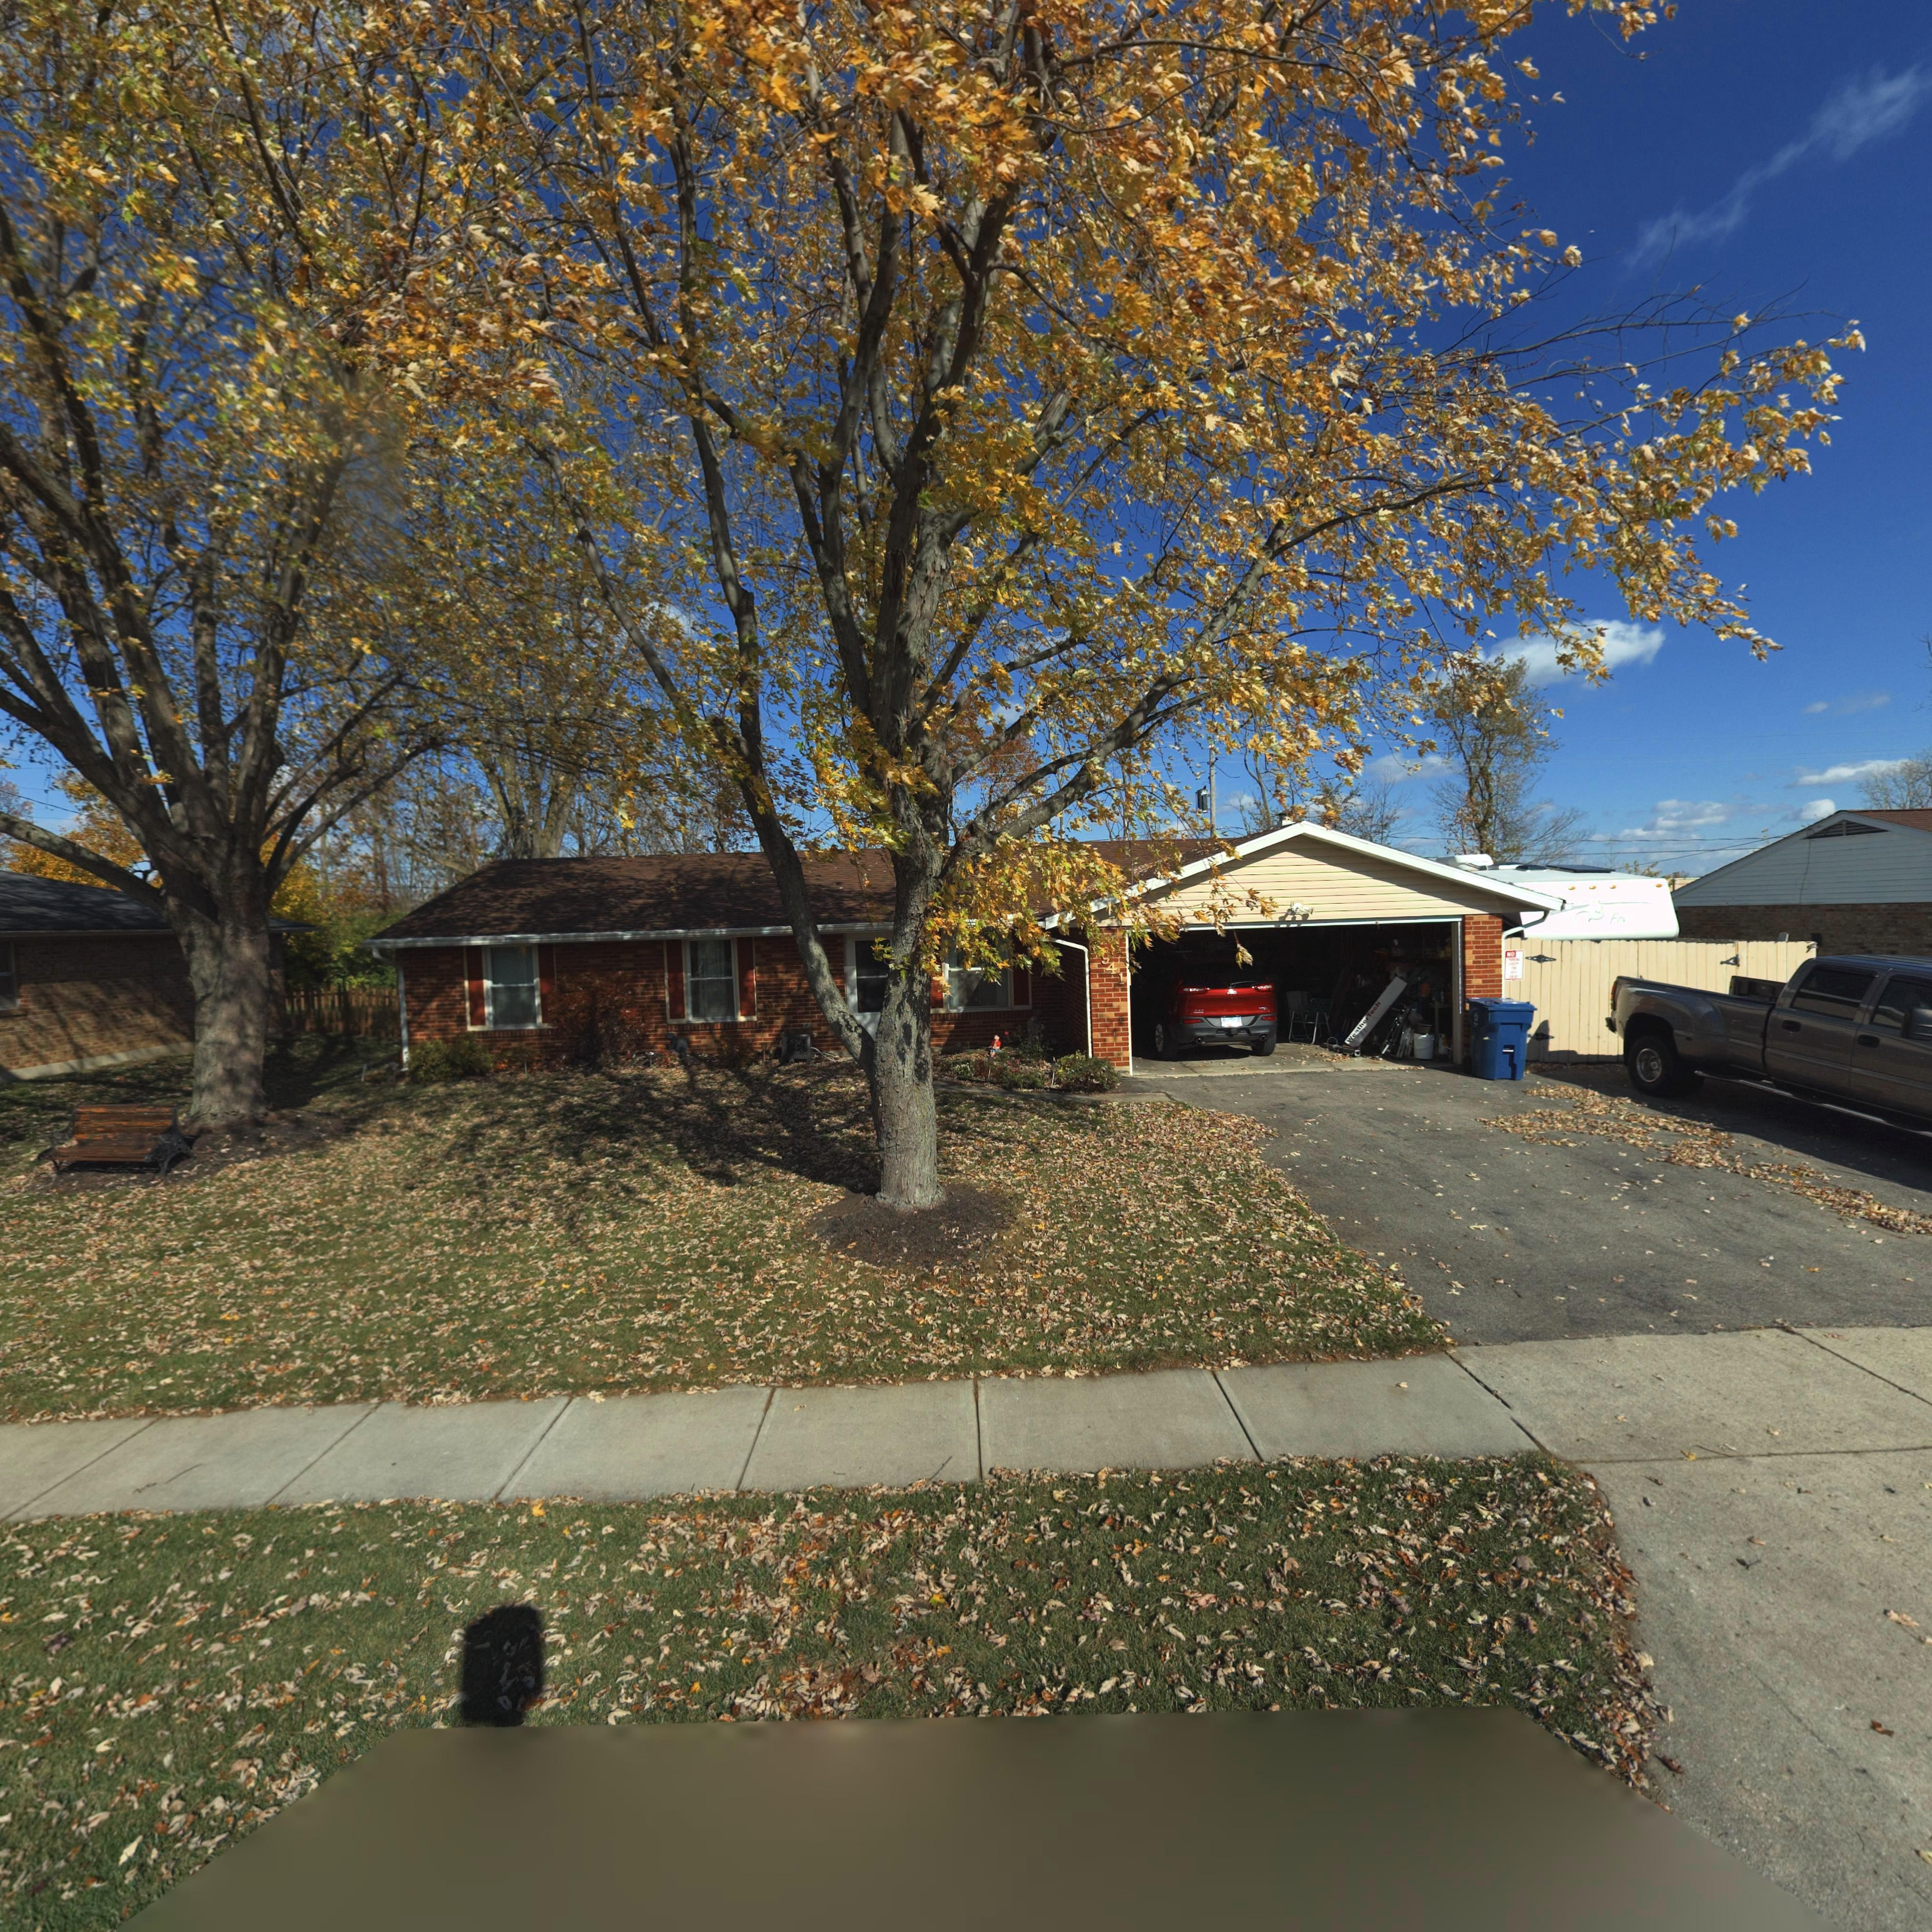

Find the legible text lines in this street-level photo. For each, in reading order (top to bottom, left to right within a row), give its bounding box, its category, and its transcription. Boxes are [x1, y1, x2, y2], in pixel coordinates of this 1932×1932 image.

[1105, 959, 1125, 986] StreetNumber: 41